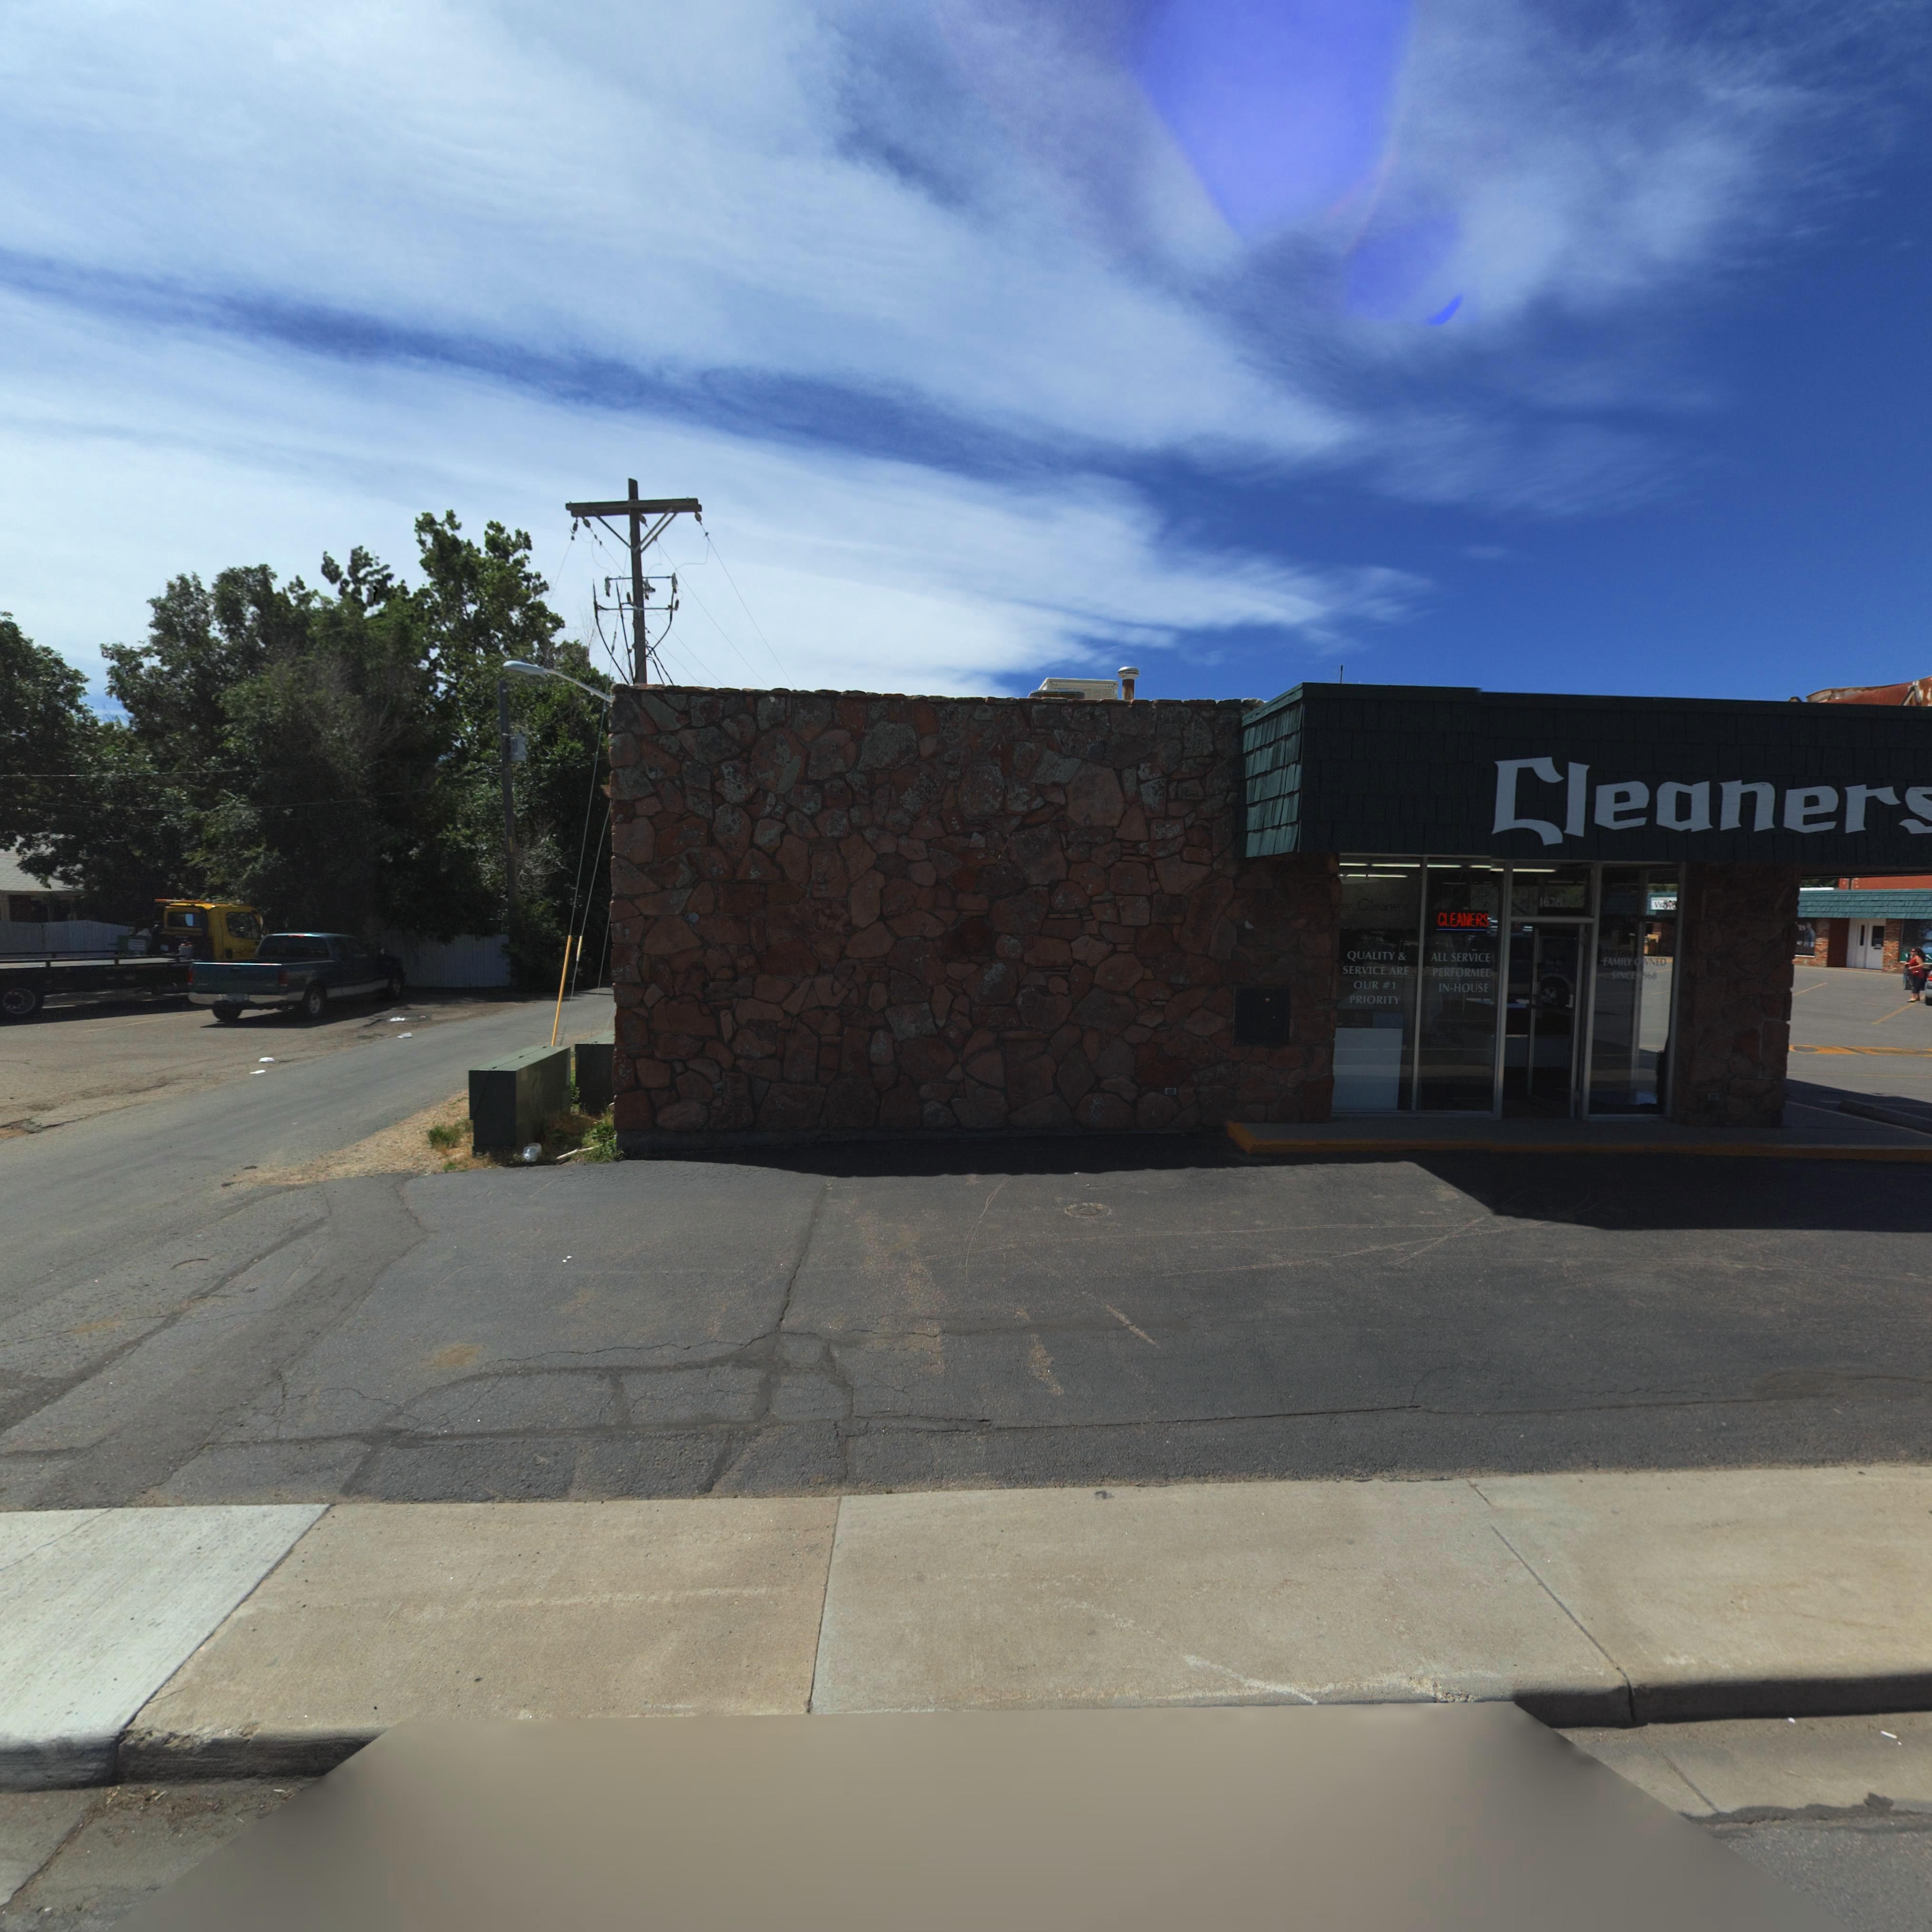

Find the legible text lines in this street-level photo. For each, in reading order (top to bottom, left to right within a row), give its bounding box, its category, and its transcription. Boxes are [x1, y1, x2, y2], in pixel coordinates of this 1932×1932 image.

[1539, 895, 1563, 908] StreetNumber: 1678
[1653, 901, 1664, 908] BusinessName: VI*
[1662, 899, 1677, 909] StreetNumber: 8*8